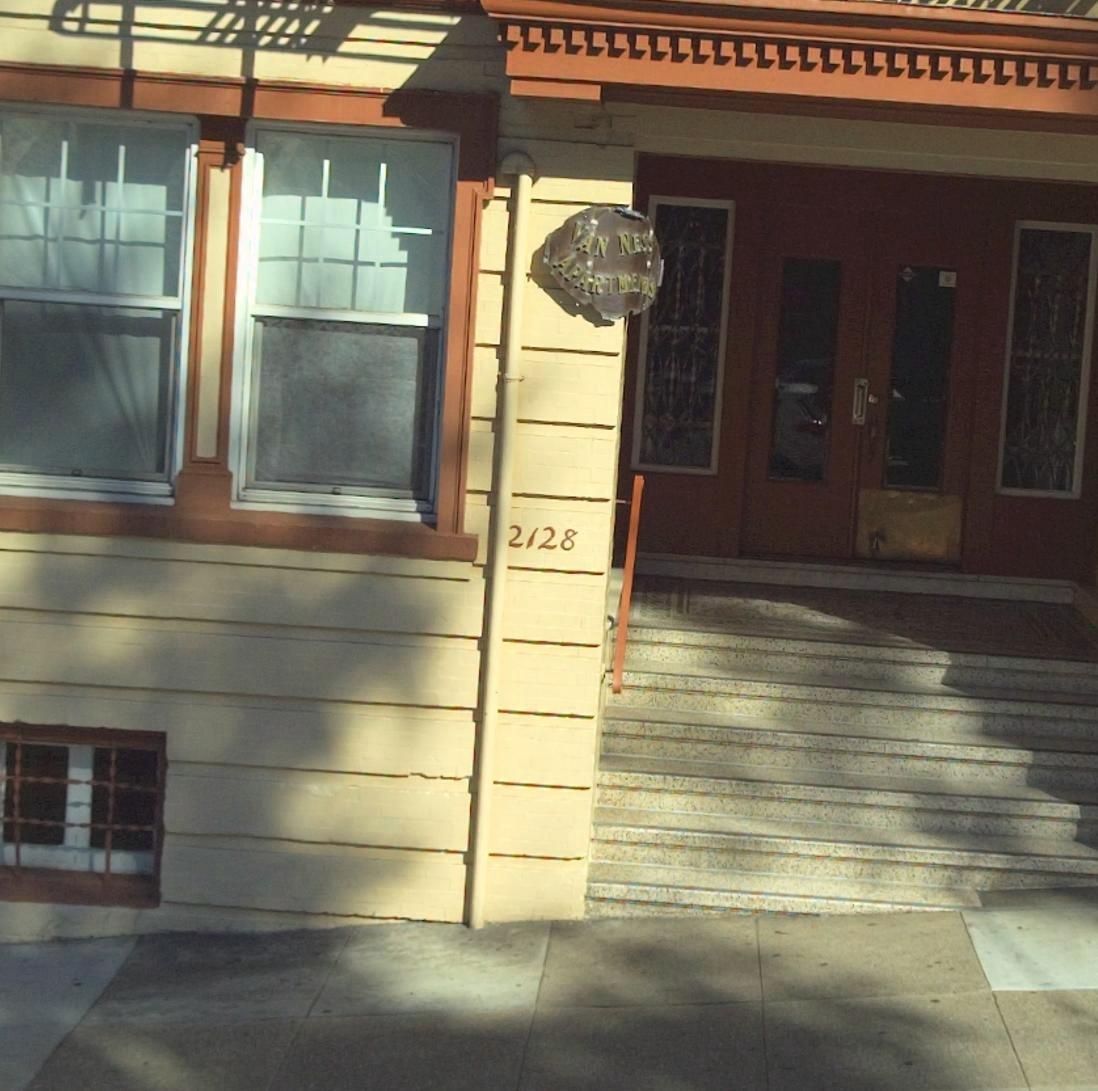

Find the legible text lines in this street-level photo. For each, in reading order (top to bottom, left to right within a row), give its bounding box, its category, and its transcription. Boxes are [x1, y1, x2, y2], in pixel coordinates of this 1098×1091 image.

[568, 217, 649, 260] BusinessName: VAN NES
[551, 253, 639, 298] BusinessName: APARTME
[505, 523, 580, 553] StreetNumber: 2128